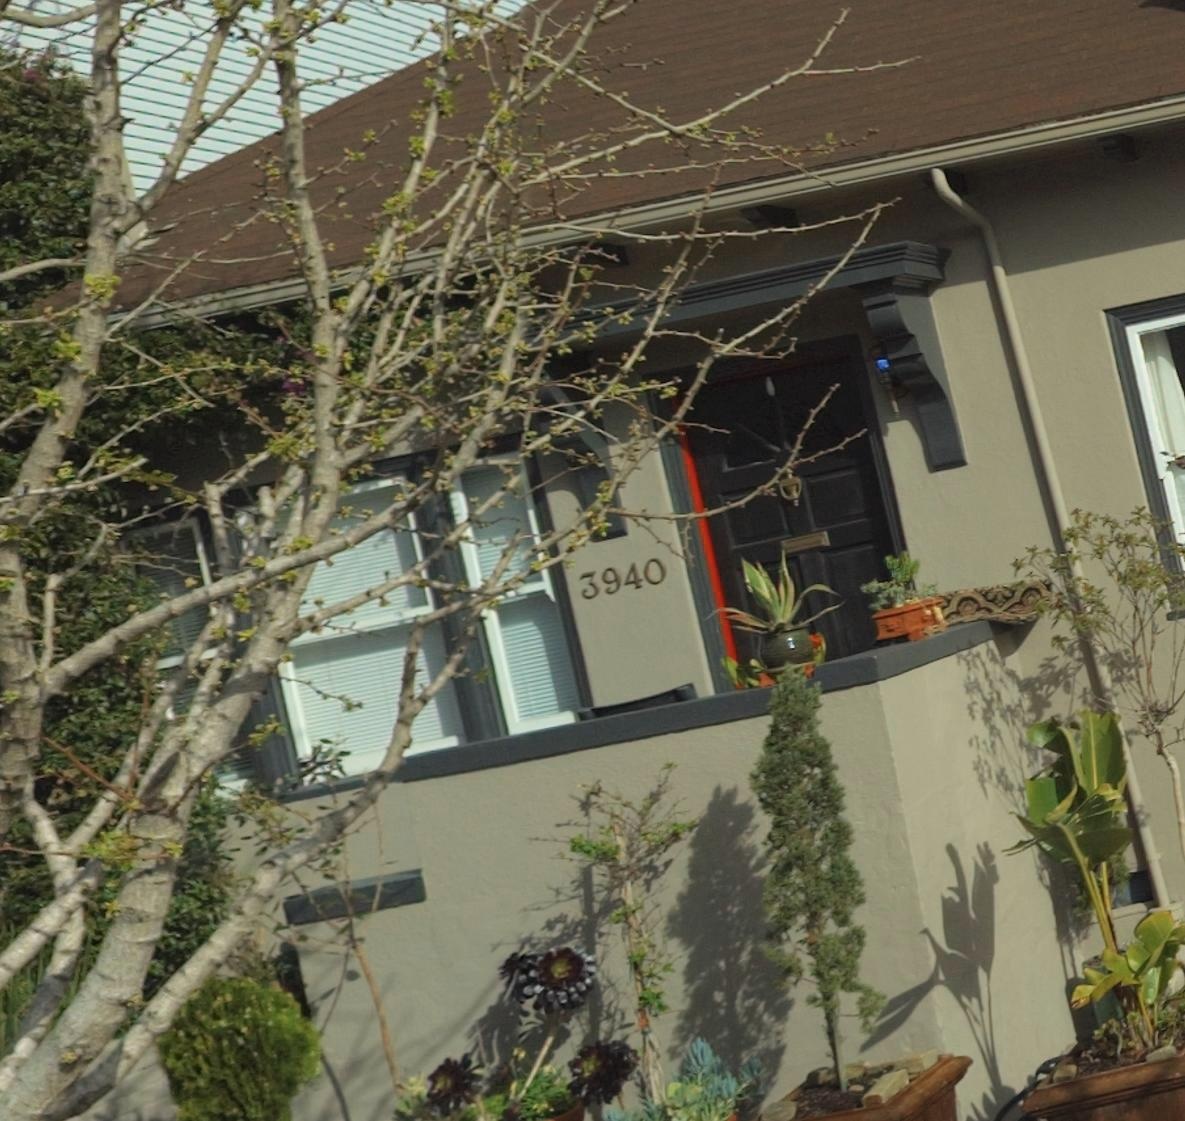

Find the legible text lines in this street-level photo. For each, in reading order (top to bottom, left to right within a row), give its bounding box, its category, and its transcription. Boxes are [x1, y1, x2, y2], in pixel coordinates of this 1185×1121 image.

[577, 553, 670, 604] StreetNumber: 3940